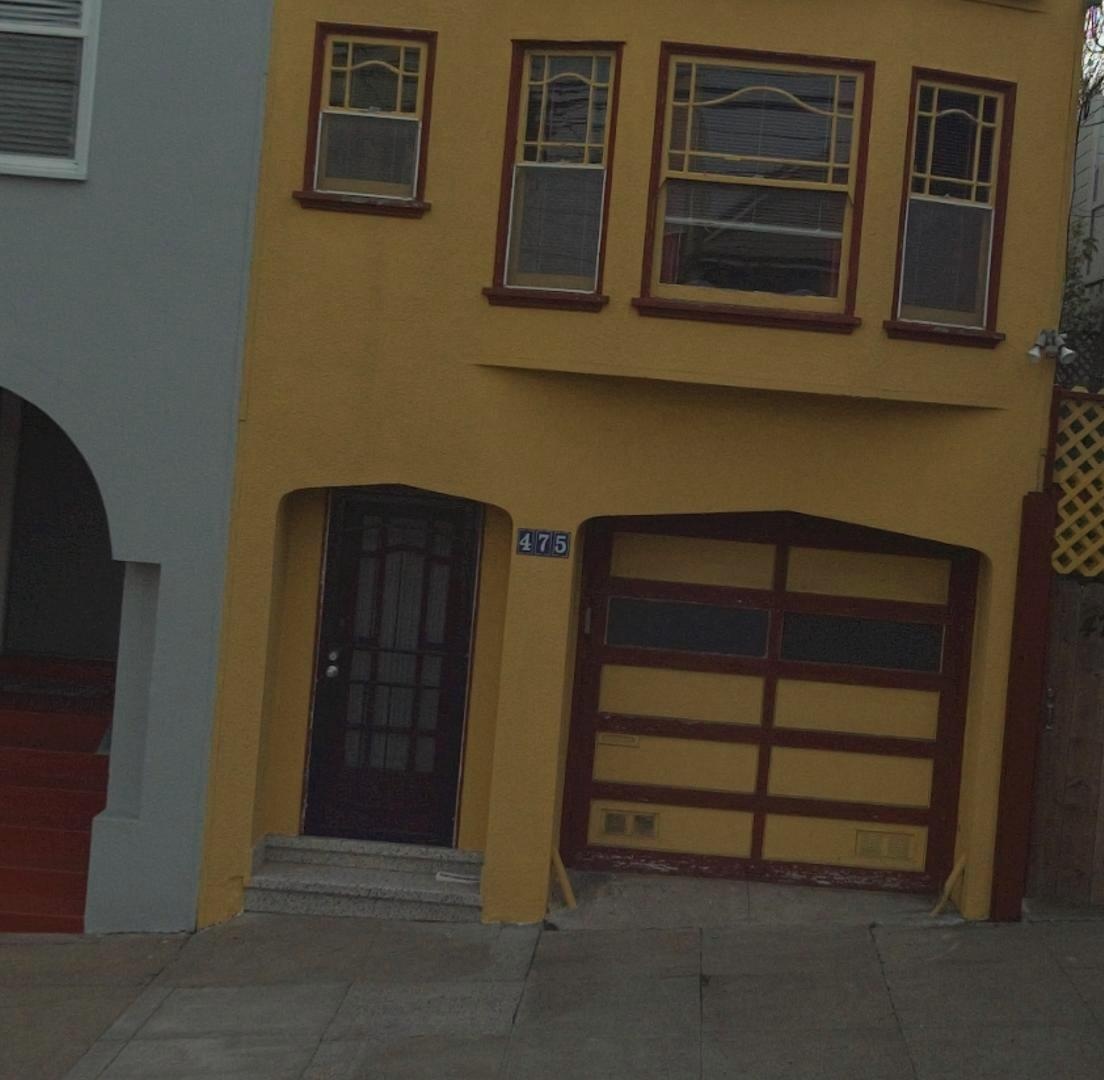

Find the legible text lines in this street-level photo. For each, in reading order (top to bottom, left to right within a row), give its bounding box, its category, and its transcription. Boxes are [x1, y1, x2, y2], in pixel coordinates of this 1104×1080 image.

[518, 530, 569, 555] StreetNumber: 475